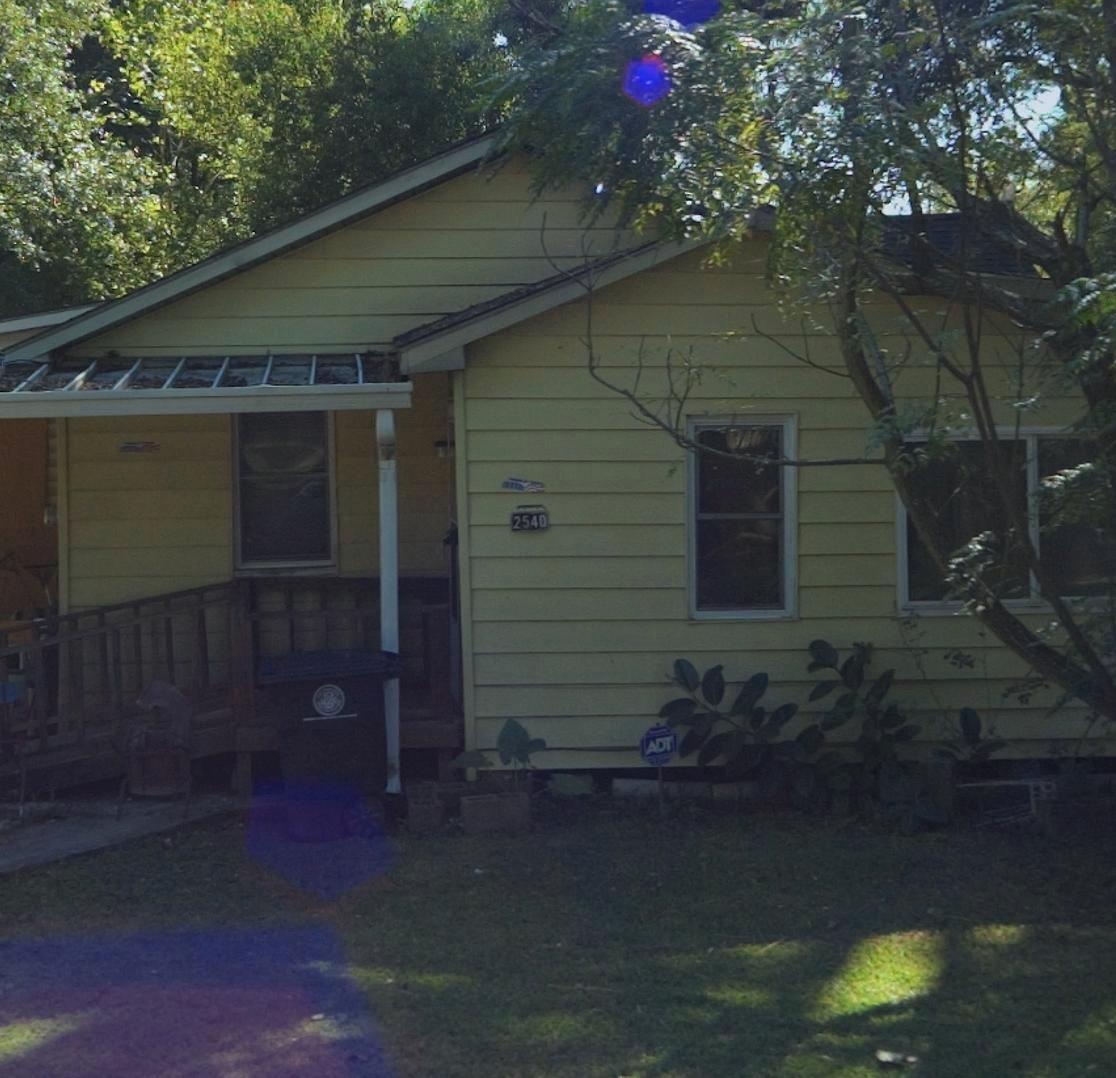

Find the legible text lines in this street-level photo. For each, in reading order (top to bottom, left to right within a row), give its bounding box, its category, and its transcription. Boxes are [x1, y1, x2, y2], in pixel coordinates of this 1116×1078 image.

[512, 513, 548, 530] StreetNumber: 2540
[643, 734, 675, 756] None: ADT